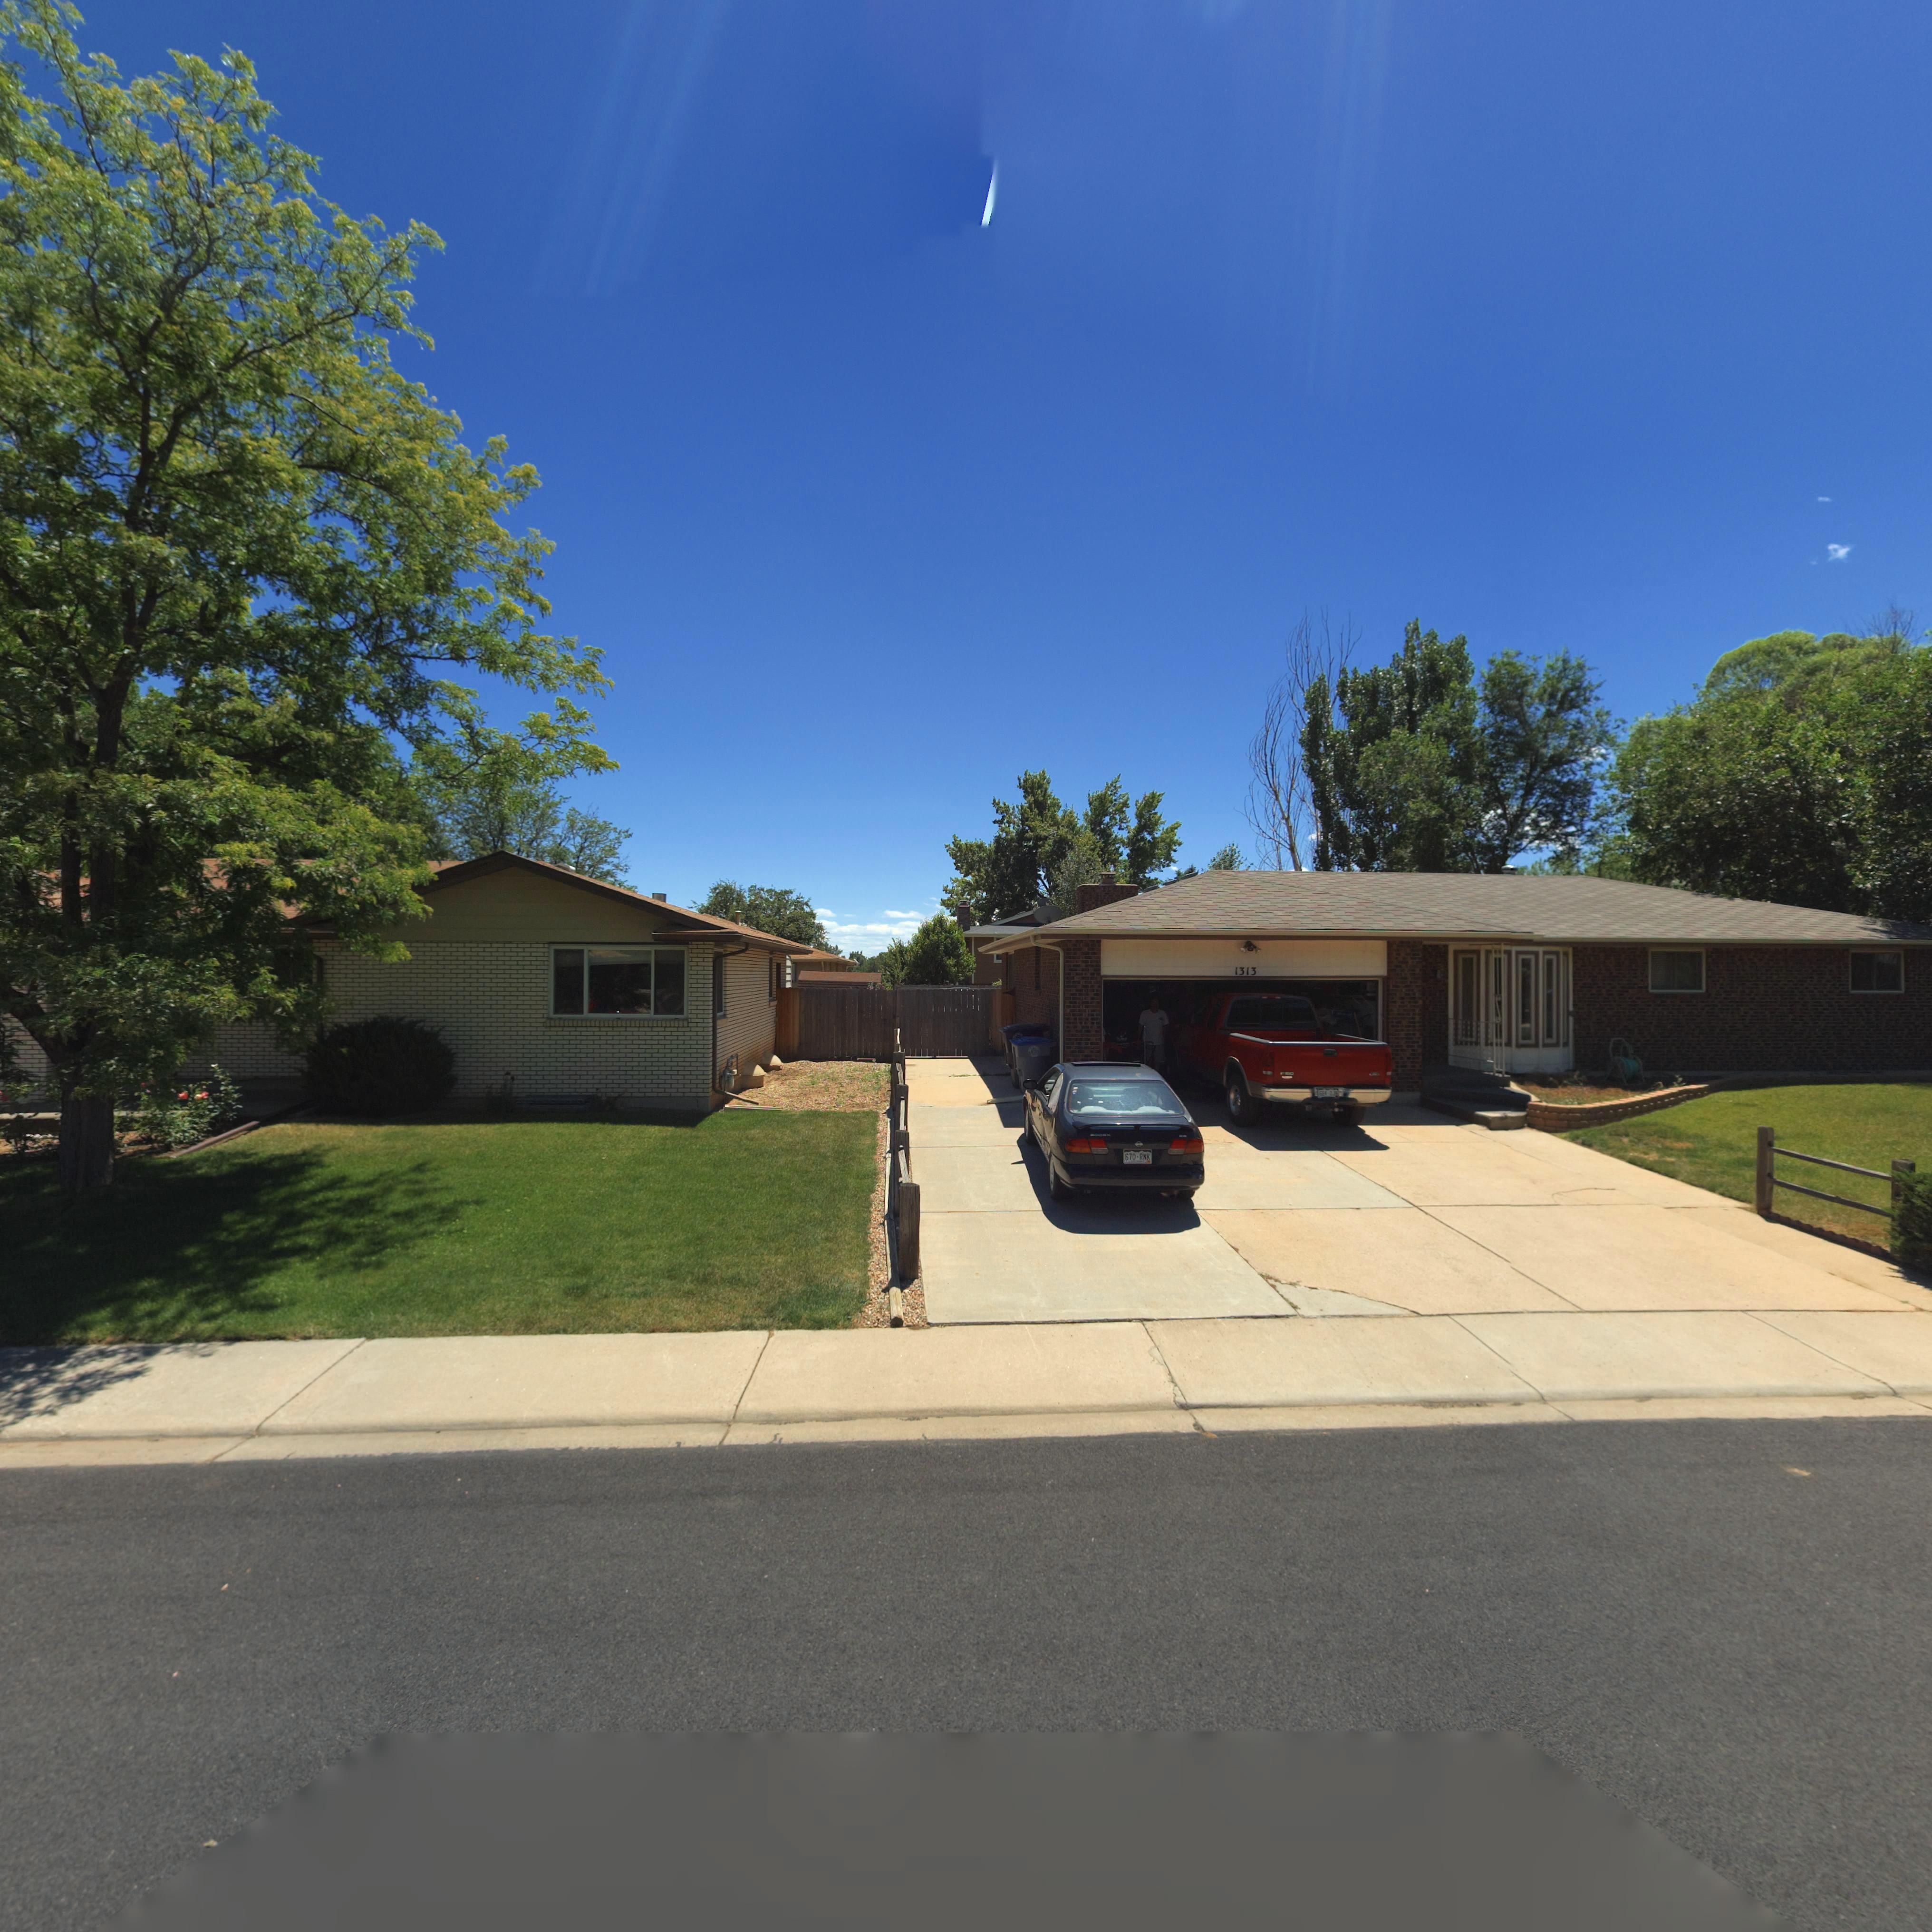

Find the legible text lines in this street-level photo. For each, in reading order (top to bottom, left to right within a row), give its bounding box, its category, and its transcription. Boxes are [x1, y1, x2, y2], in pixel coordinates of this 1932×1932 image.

[1235, 966, 1256, 976] StreetNumber: 1313